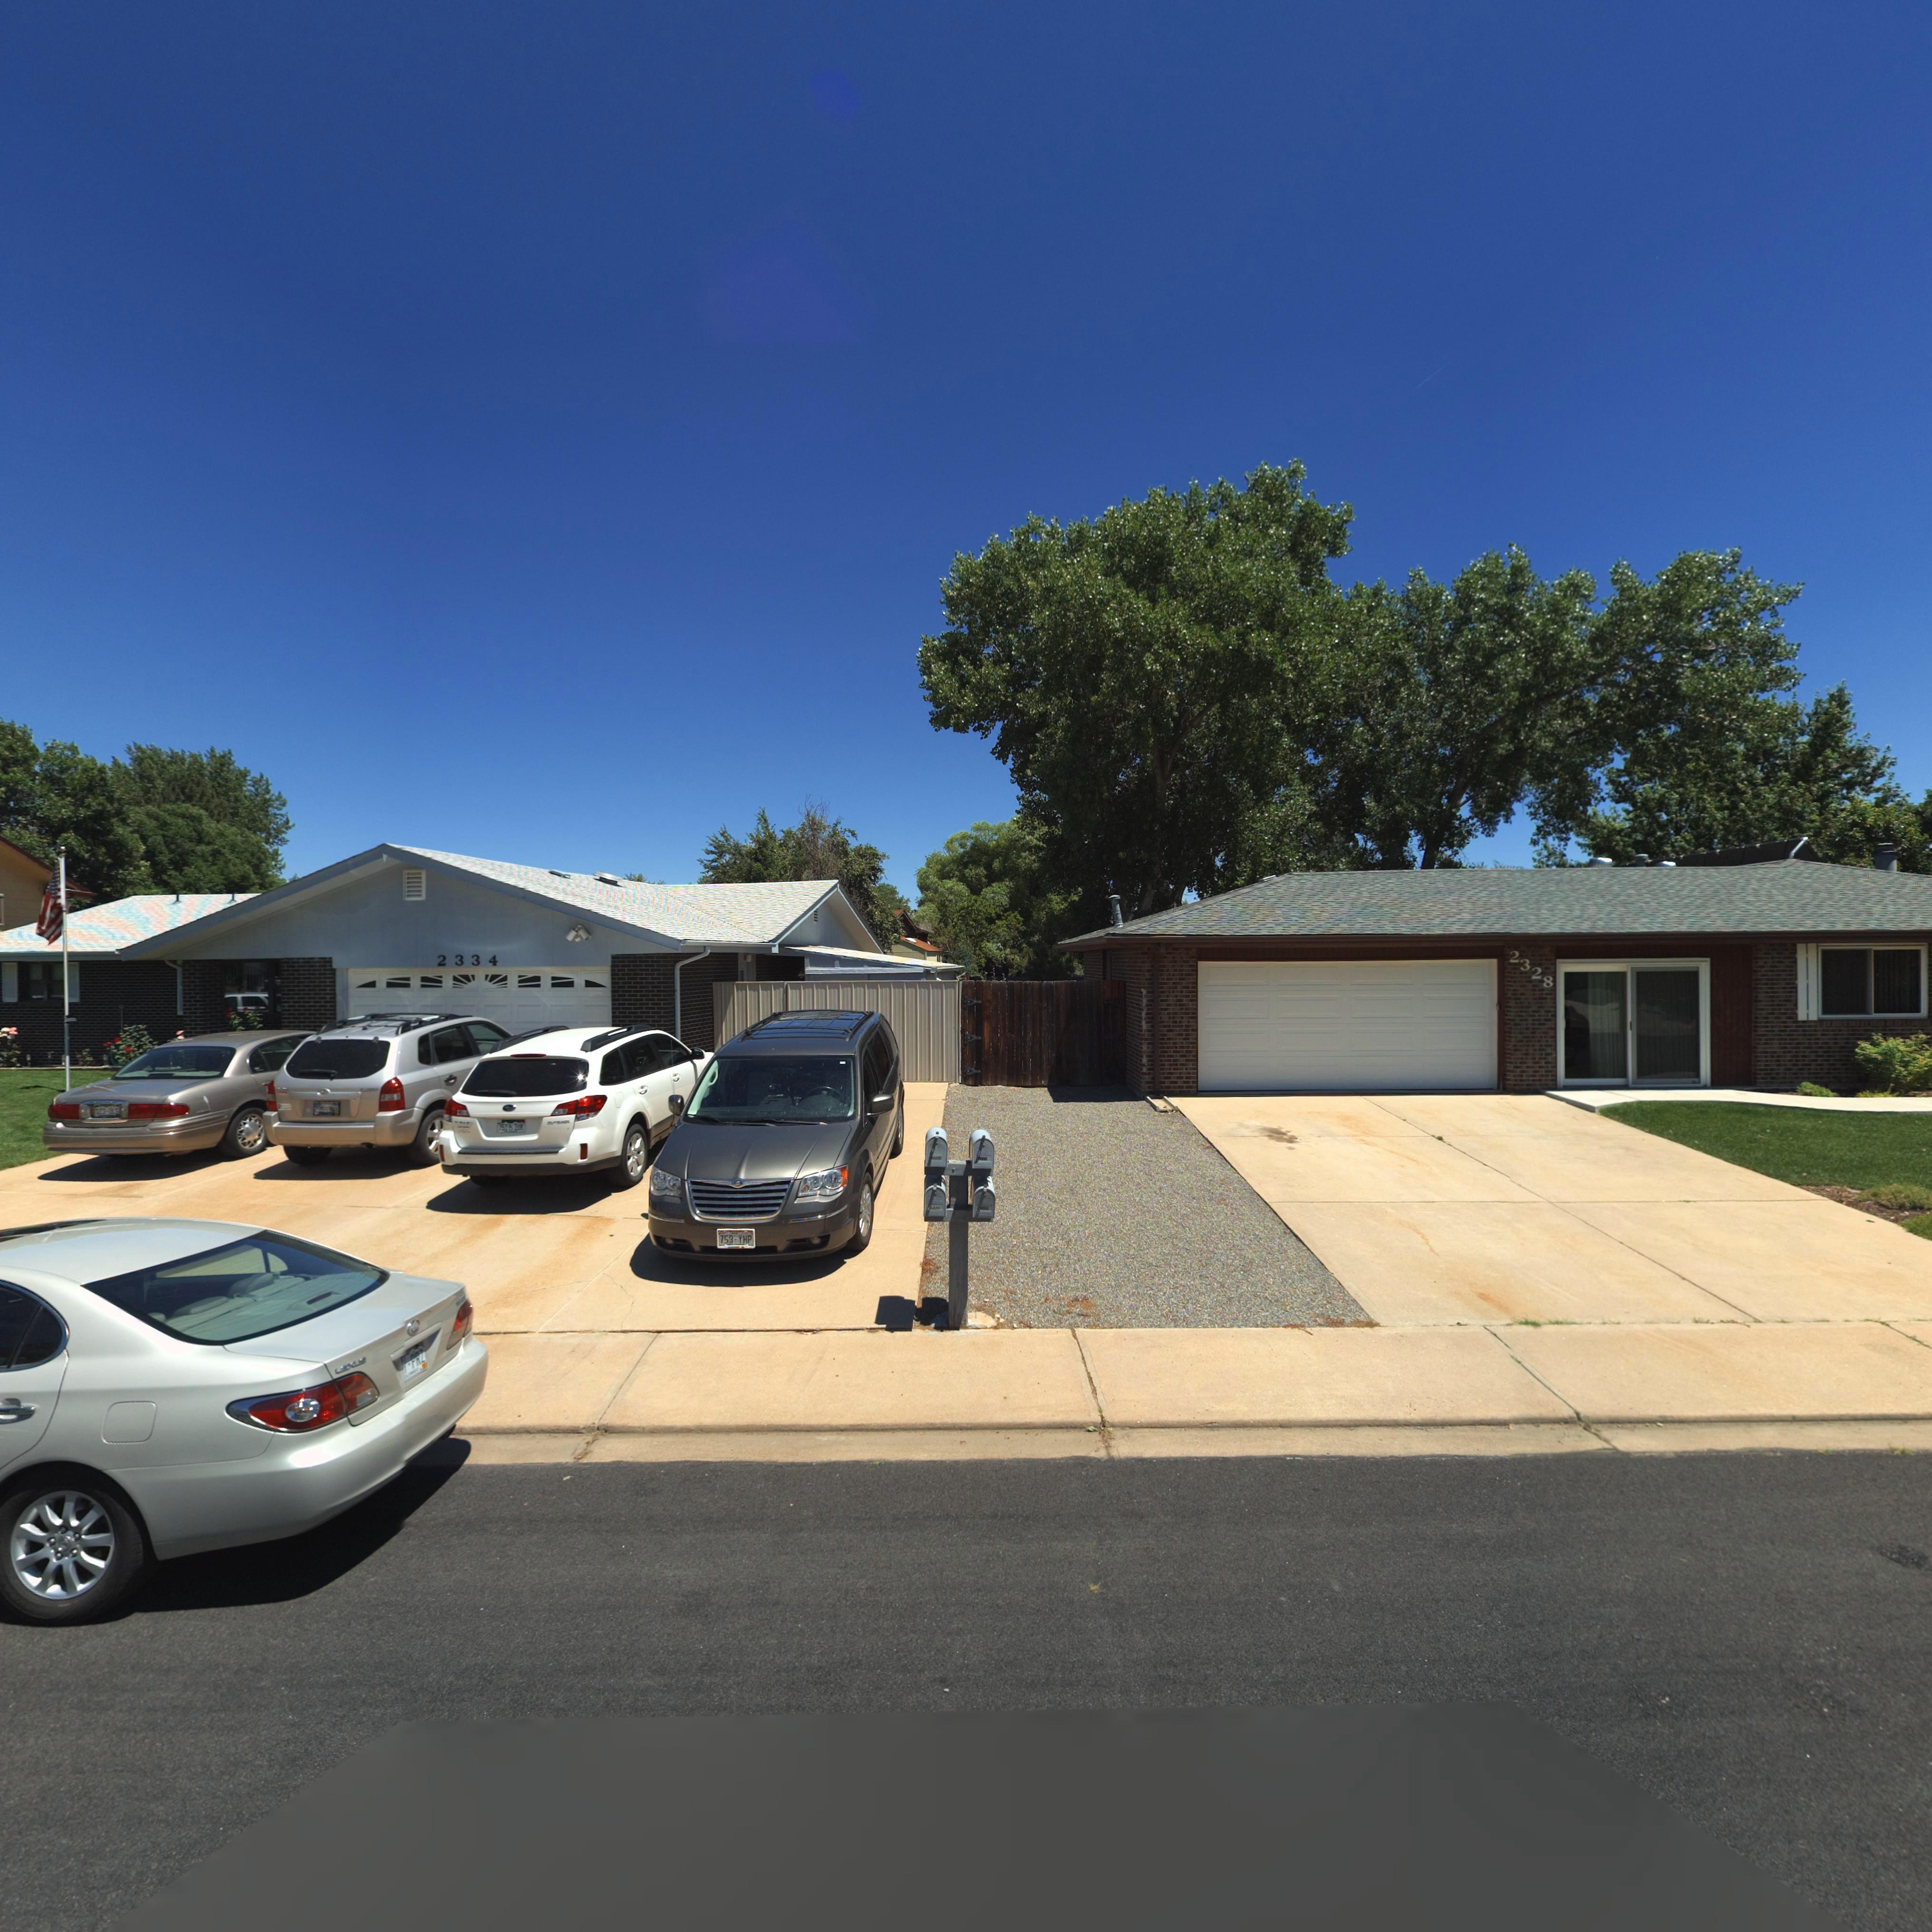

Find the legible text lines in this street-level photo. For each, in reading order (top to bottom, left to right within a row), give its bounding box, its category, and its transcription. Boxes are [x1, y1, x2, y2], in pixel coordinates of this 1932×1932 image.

[436, 954, 498, 966] StreetNumber: 2334
[1509, 951, 1554, 988] StreetNumber: 2328